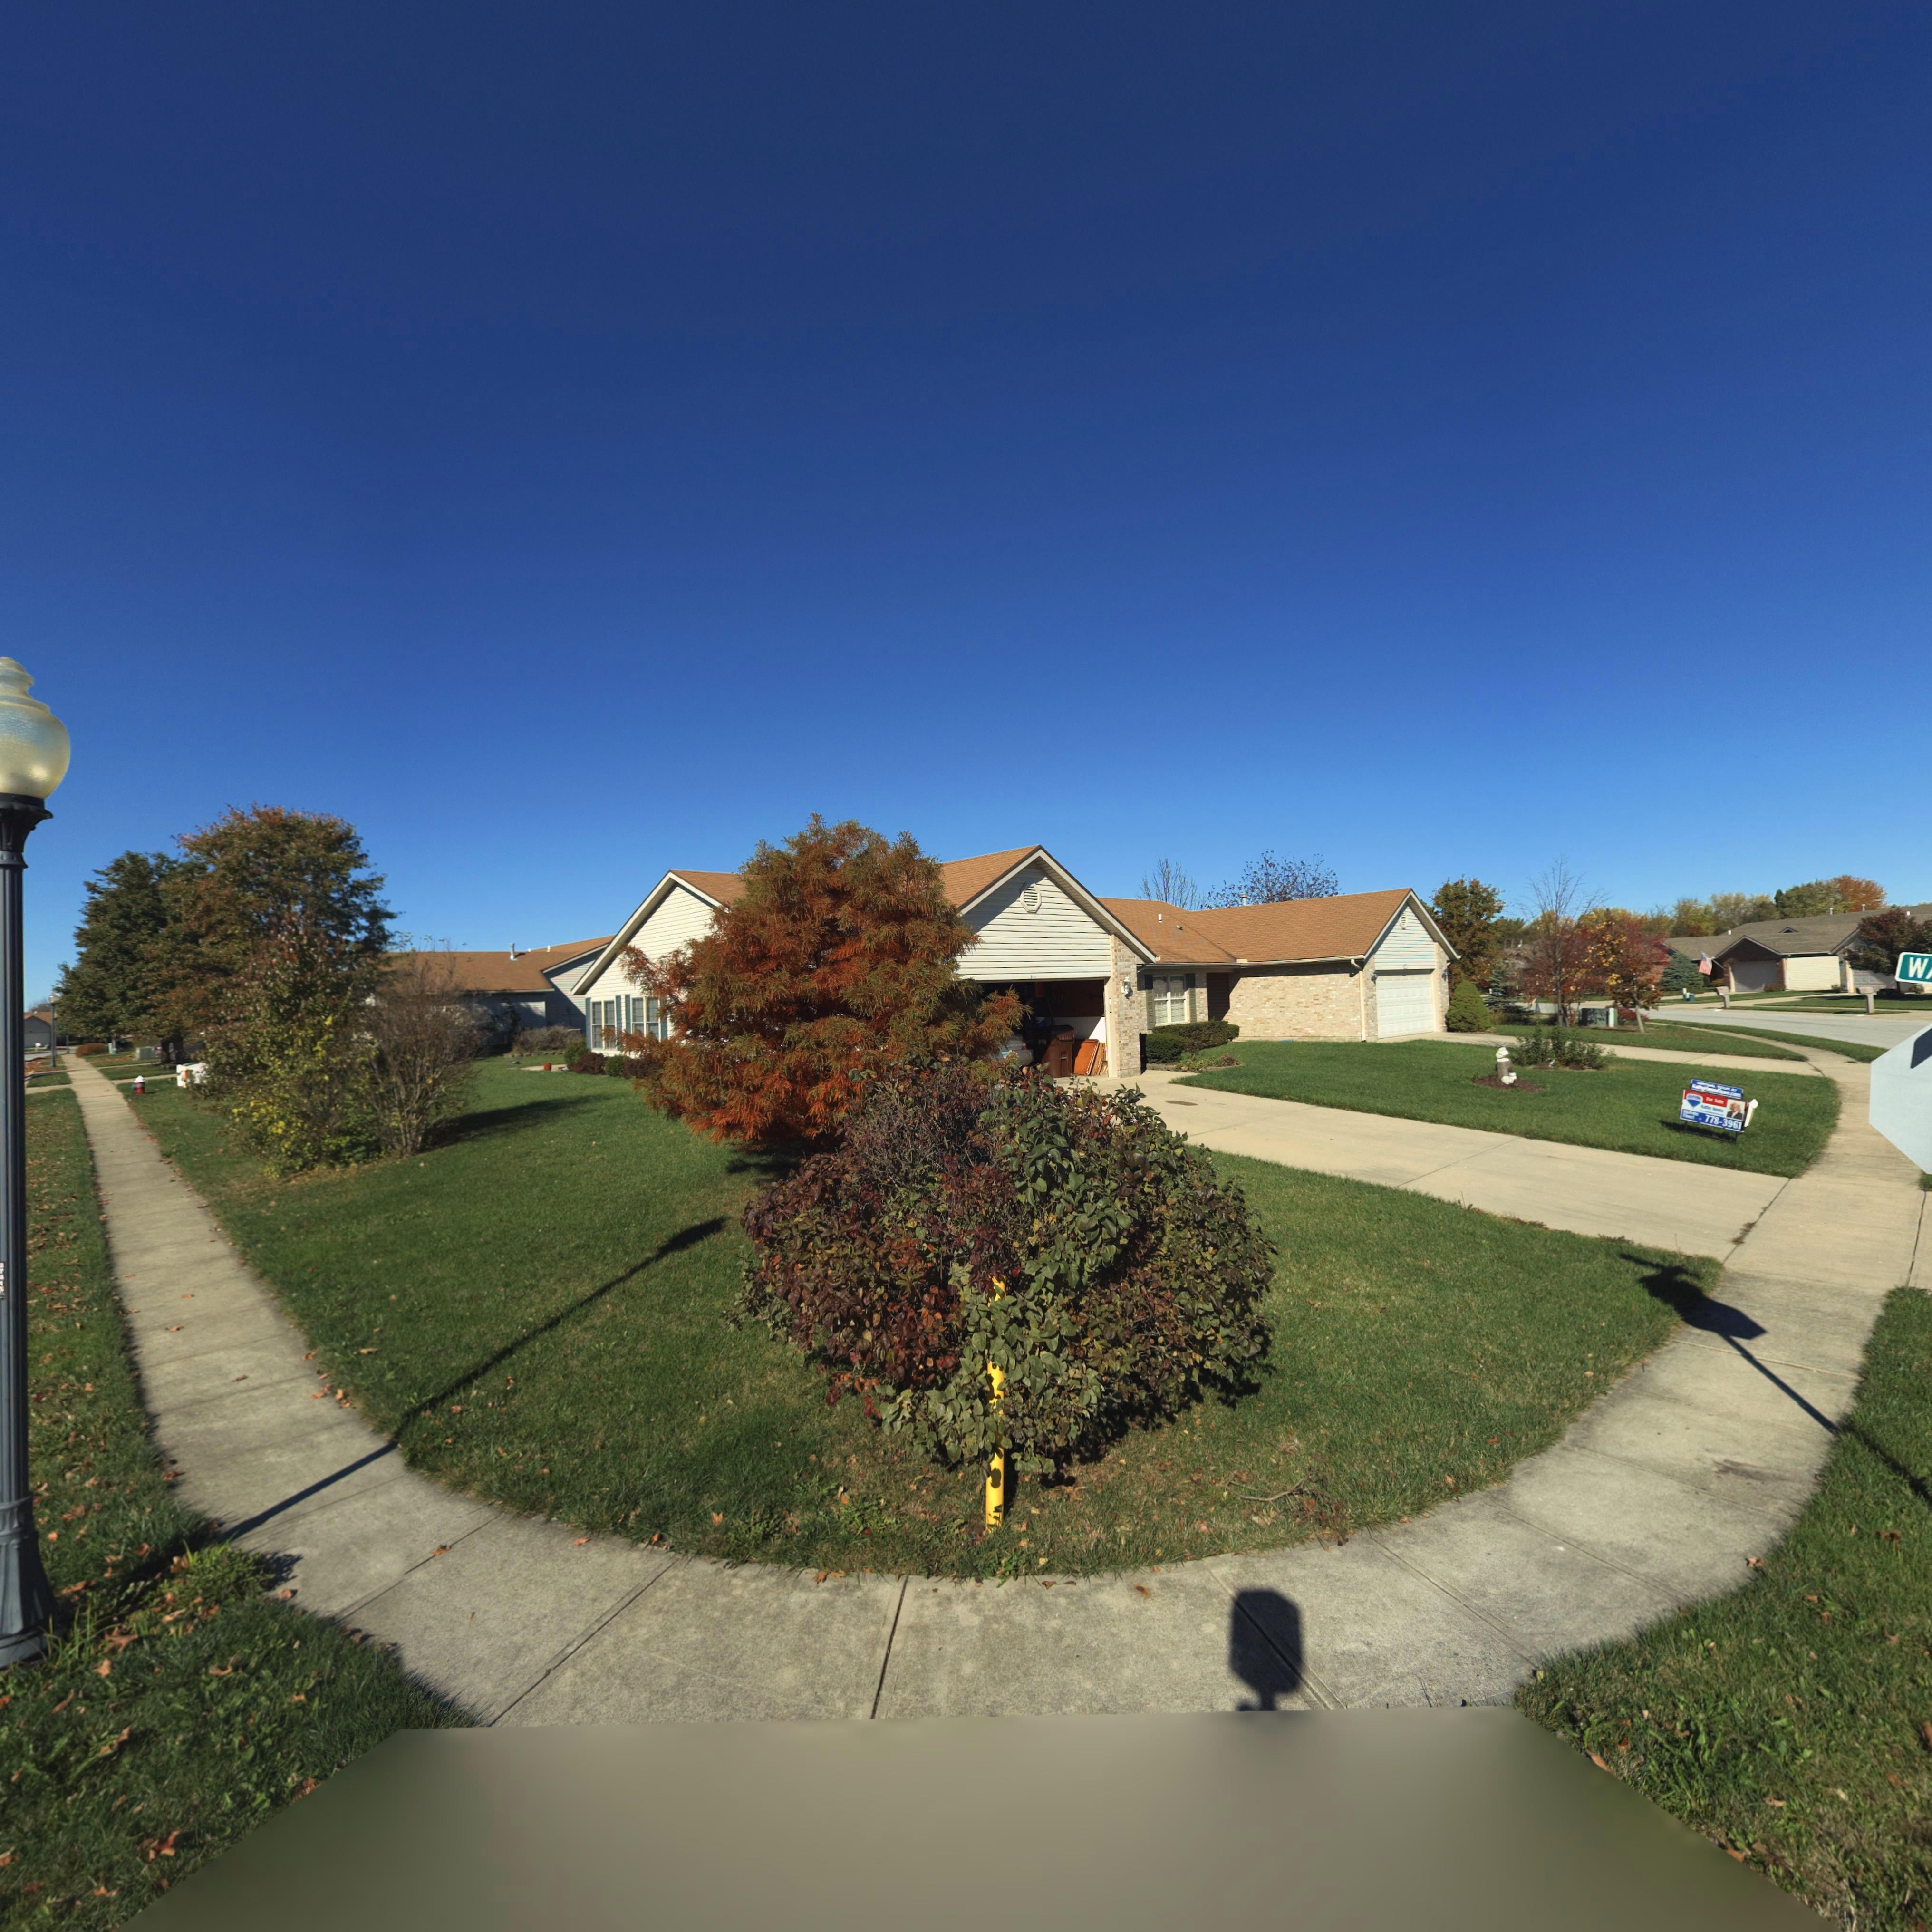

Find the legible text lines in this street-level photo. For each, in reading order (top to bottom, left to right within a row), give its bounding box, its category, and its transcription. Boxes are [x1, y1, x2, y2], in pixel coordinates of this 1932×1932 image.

[1030, 974, 1037, 979] StreetNumber: 100
[1704, 1113, 1743, 1131] None: 778-3961